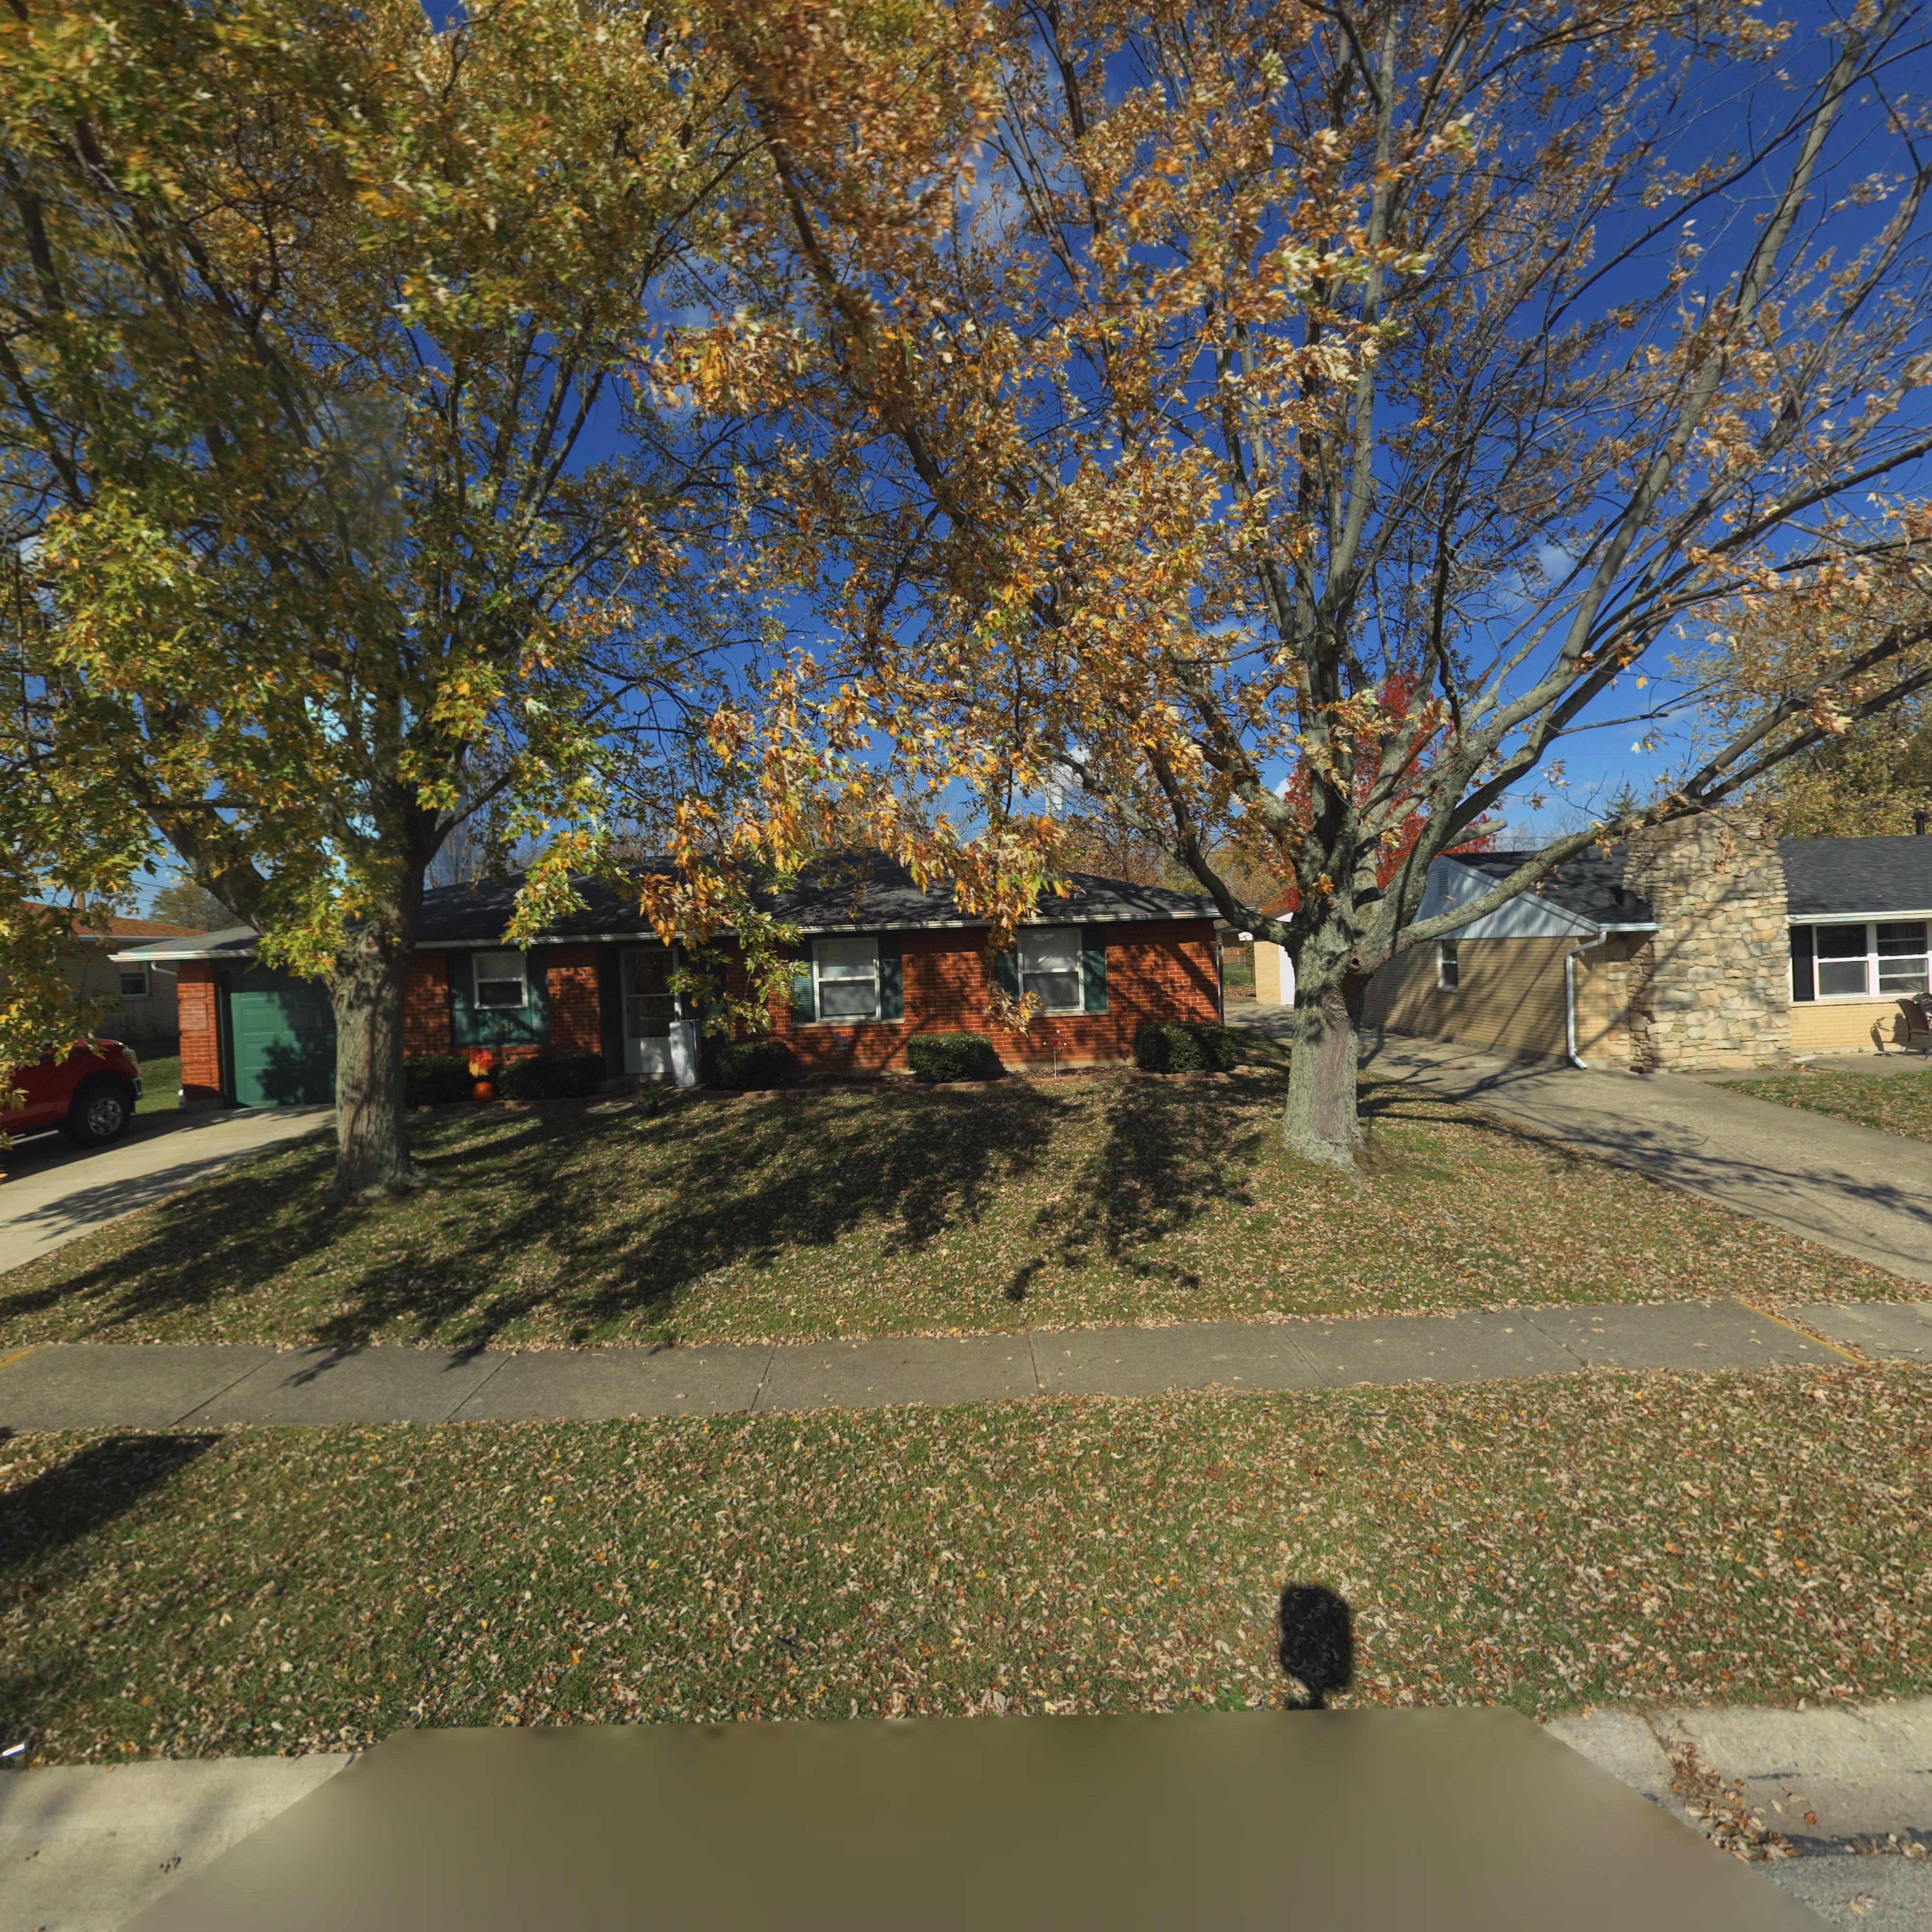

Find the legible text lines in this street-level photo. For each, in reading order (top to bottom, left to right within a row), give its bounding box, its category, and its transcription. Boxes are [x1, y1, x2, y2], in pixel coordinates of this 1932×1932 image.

[492, 1022, 515, 1032] StreetNumber: 6639